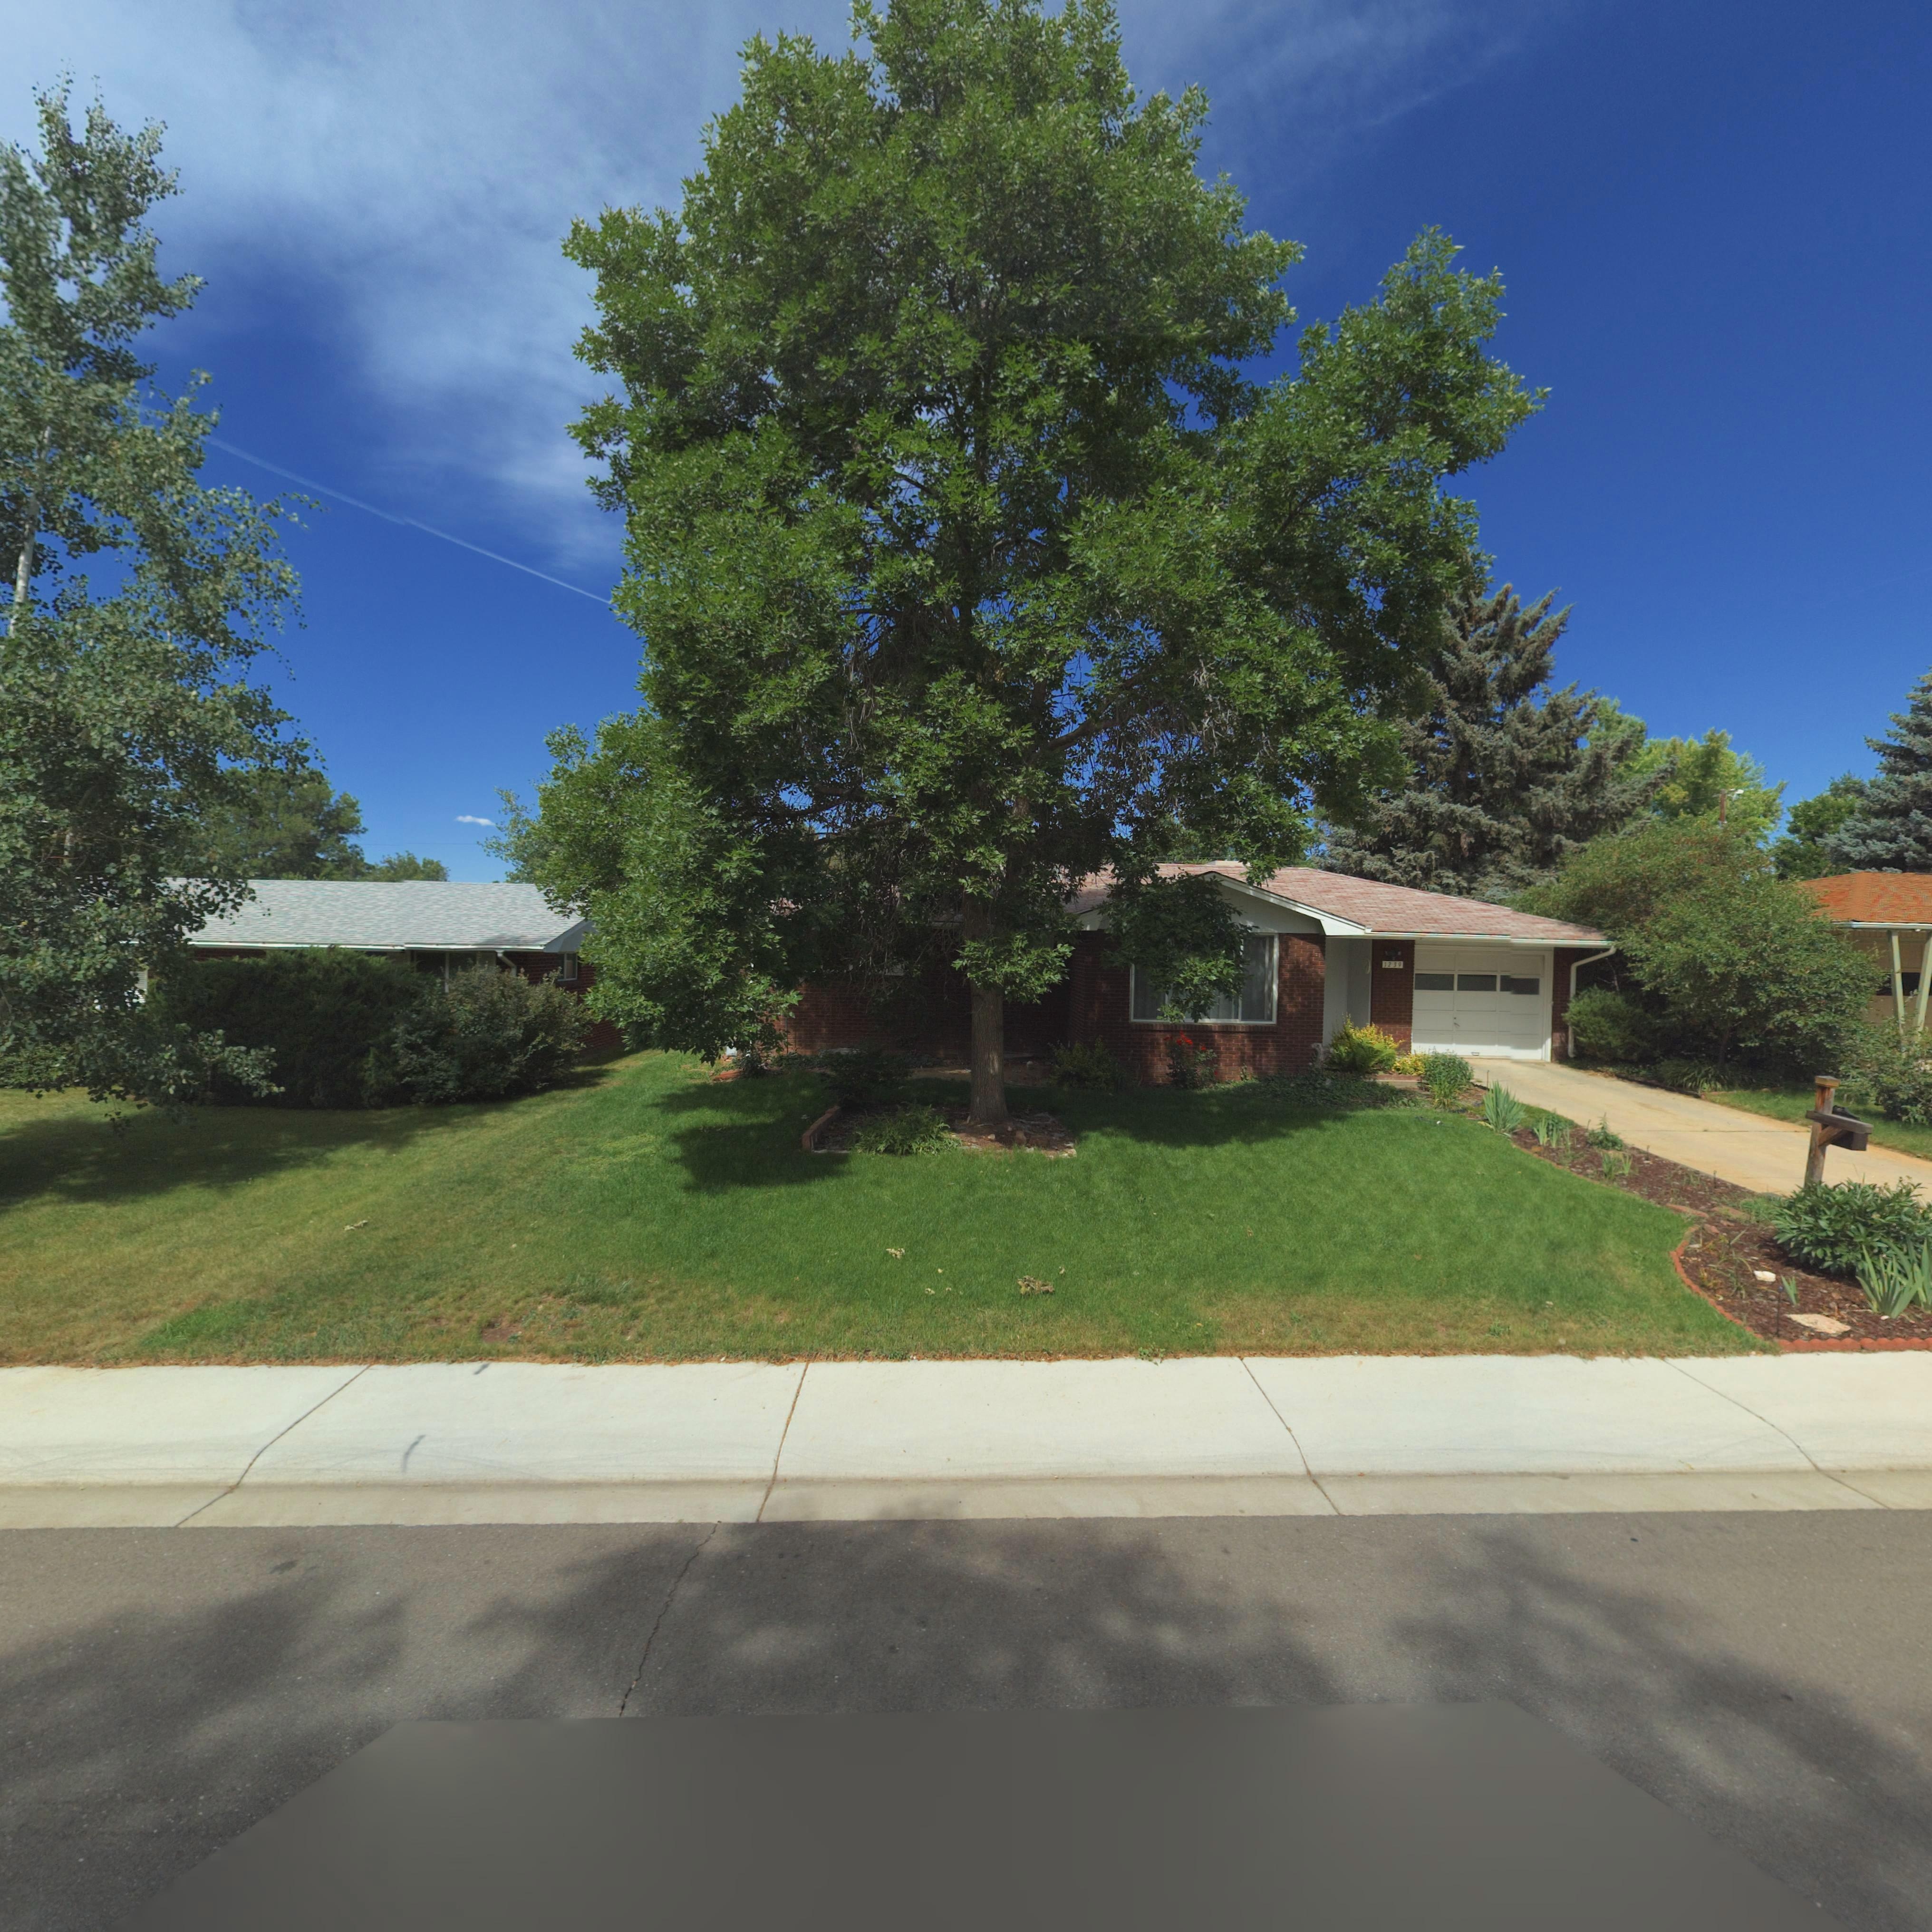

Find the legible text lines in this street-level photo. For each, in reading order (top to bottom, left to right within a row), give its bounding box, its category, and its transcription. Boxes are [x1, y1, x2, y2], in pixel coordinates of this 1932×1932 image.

[1384, 962, 1401, 967] StreetNumber: 1239